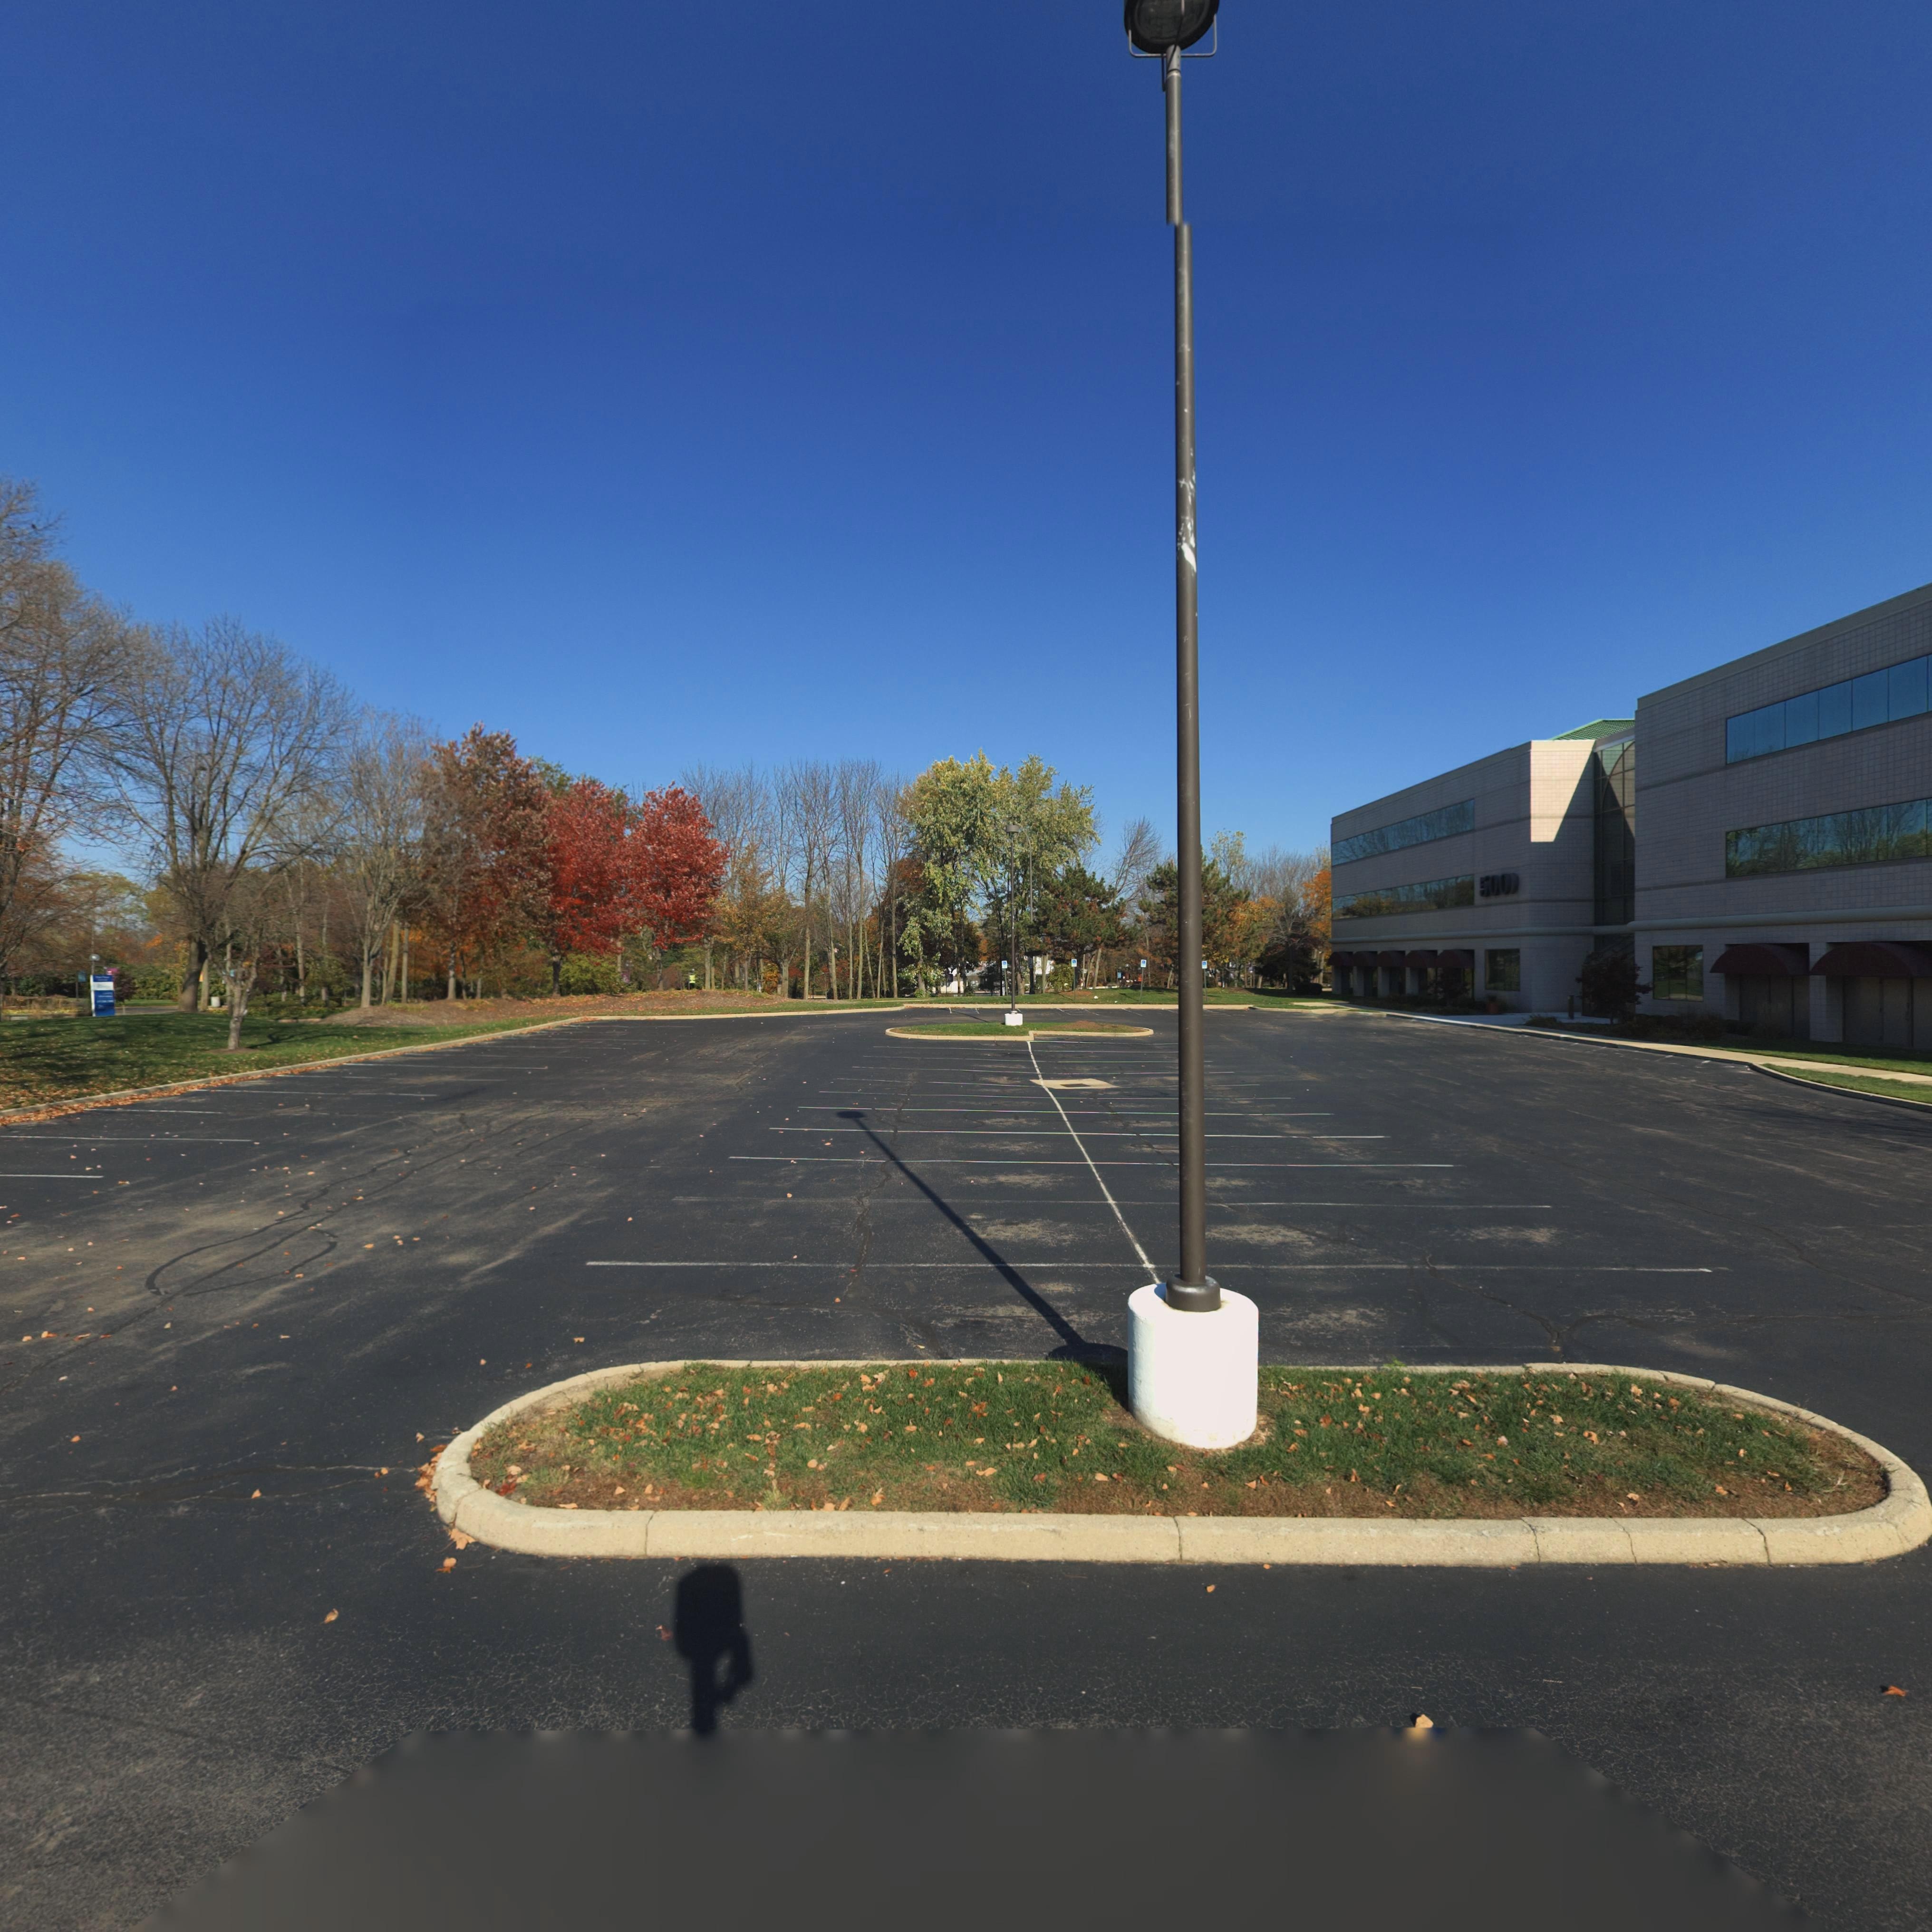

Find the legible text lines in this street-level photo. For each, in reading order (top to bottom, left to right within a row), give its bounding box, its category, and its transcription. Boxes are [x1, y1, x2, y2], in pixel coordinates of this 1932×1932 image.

[1479, 872, 1518, 898] StreetNumber: 500